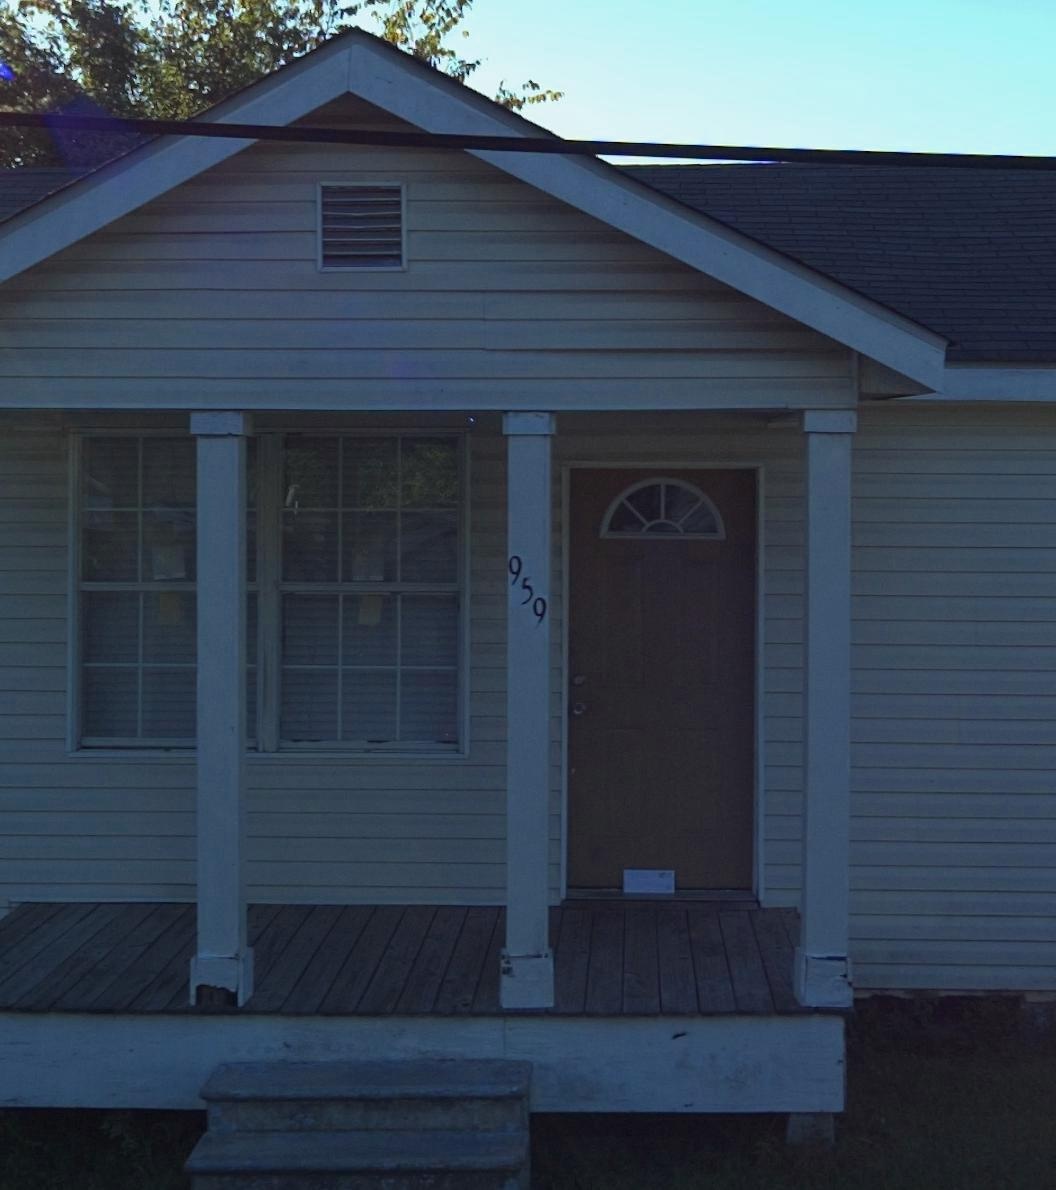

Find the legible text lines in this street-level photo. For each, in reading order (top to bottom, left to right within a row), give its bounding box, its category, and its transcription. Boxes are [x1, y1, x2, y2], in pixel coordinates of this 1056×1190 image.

[503, 551, 551, 631] StreetNumber: 959